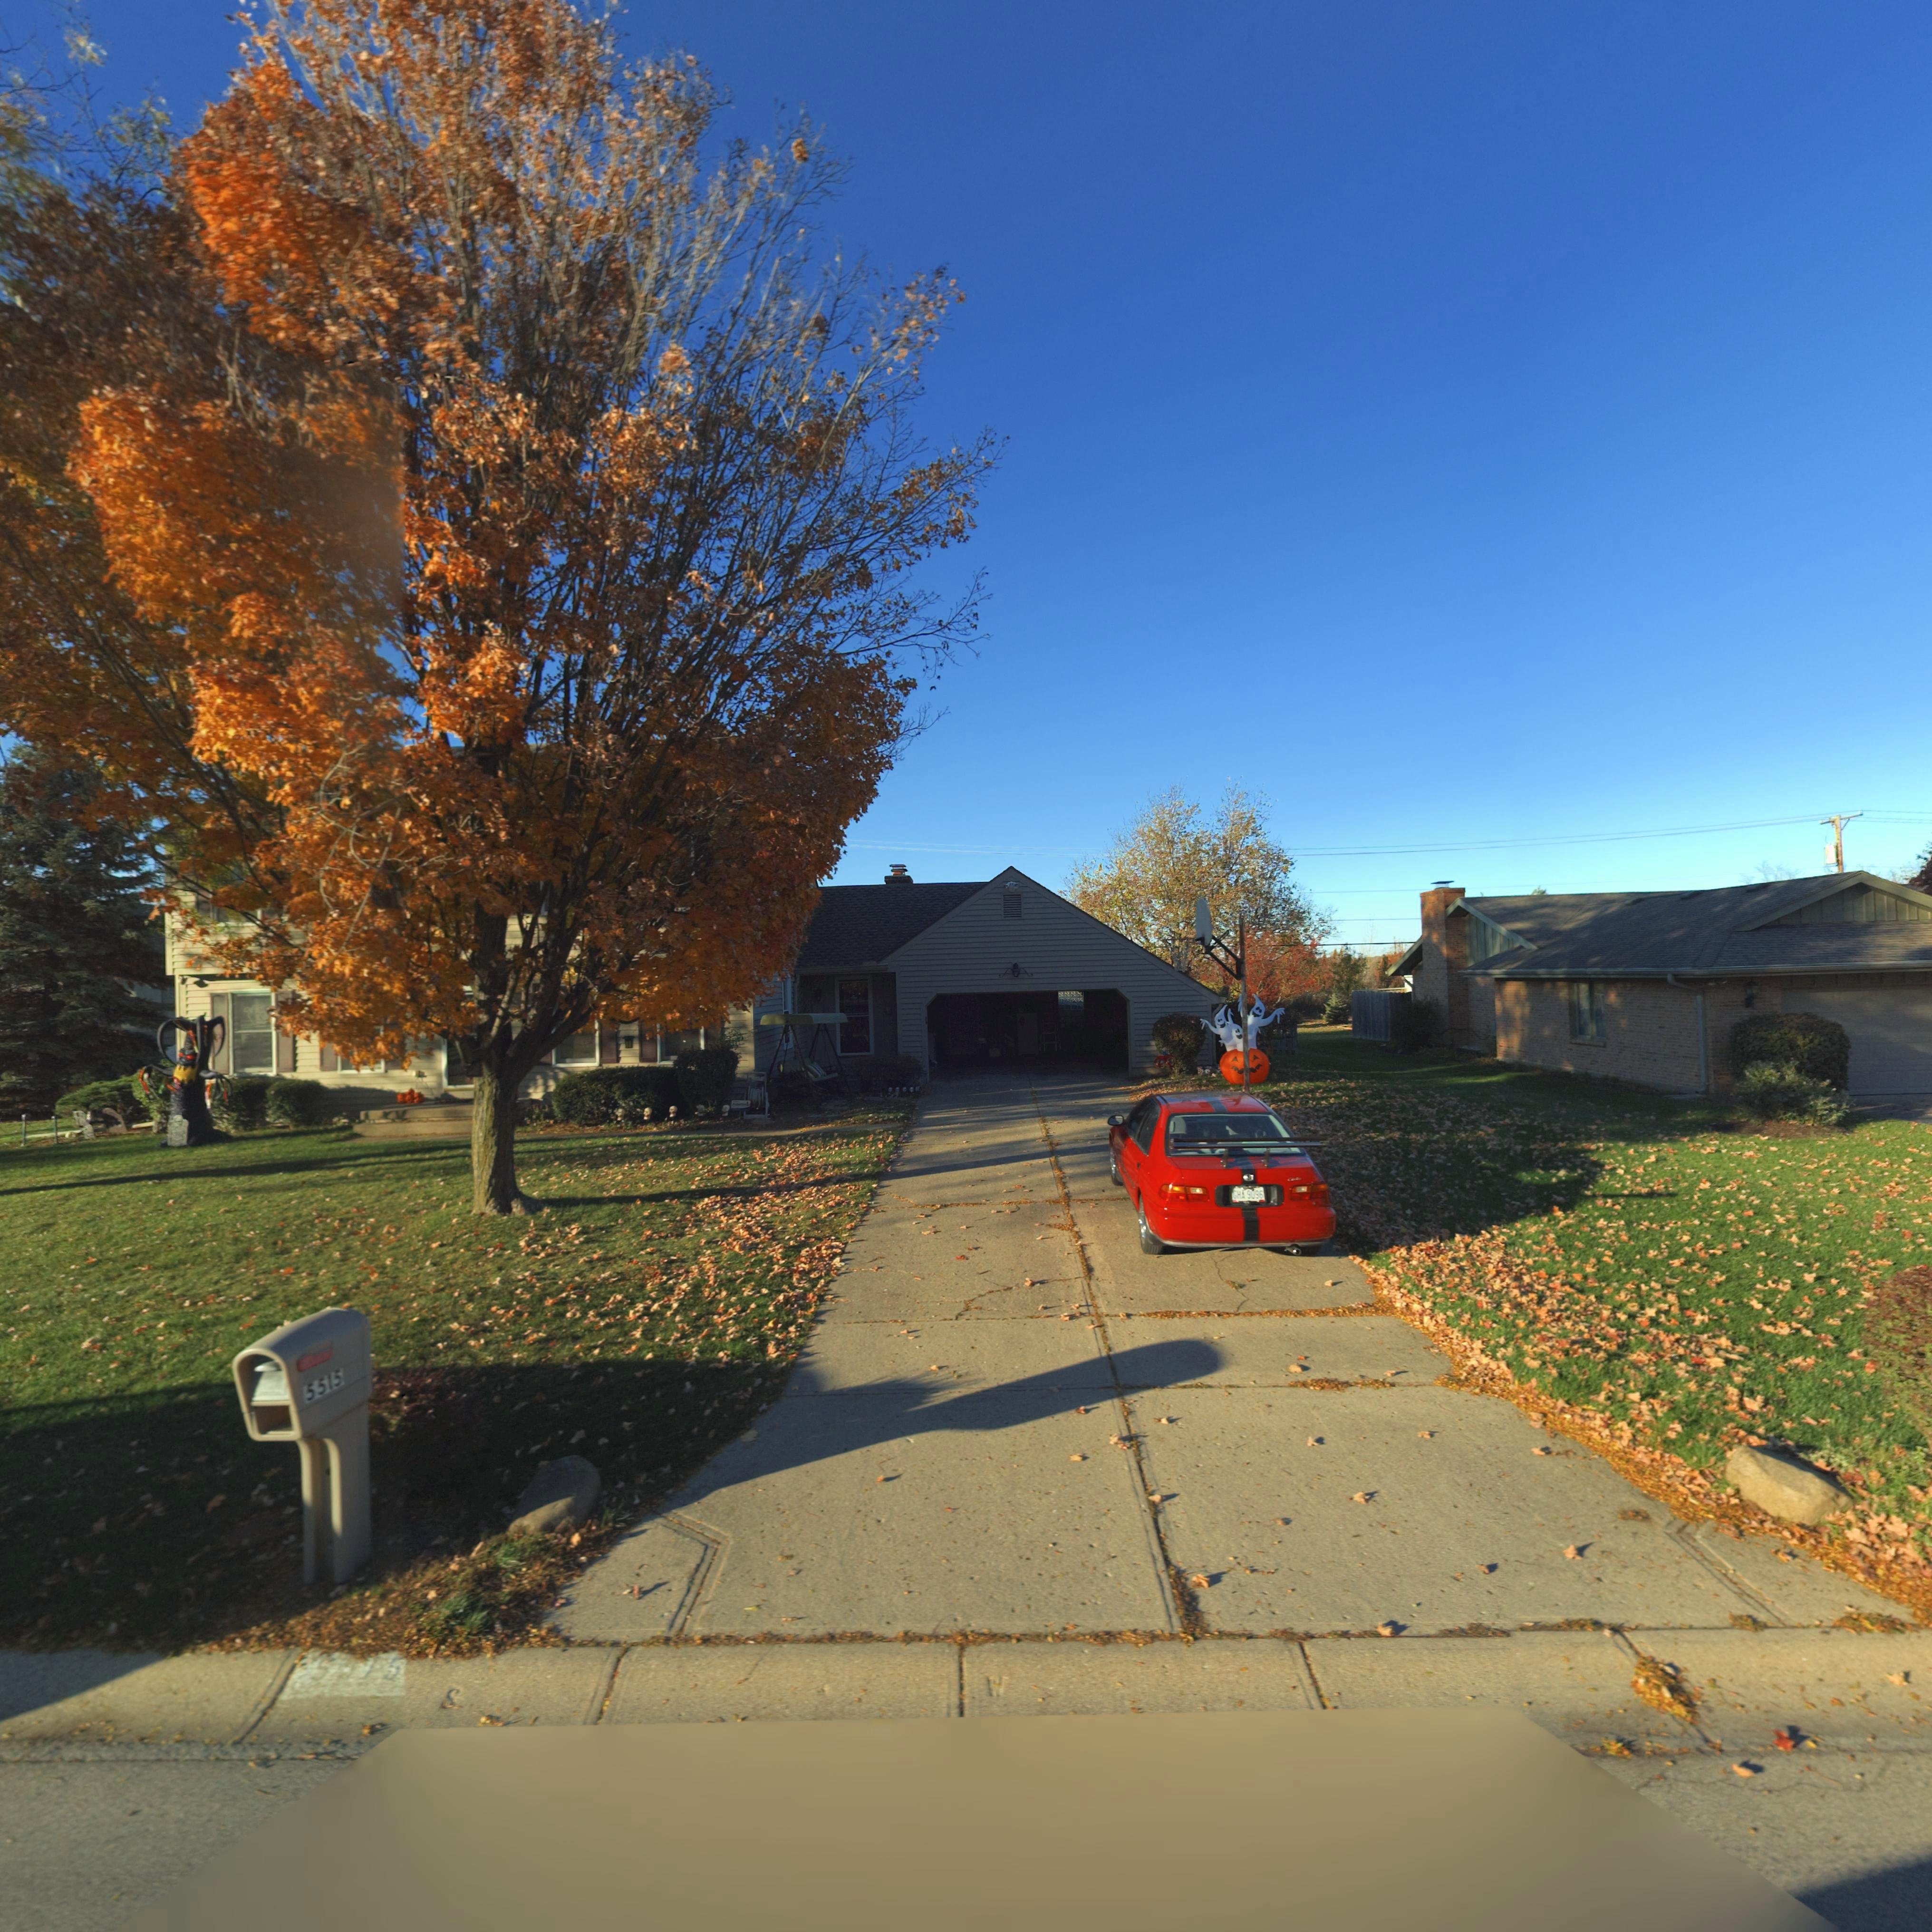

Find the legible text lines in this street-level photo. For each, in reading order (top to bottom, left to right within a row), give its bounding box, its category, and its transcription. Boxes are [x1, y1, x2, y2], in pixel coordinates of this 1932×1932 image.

[304, 1365, 344, 1403] StreetNumber: 5515
[307, 1653, 407, 1684] StreetNumber: 5*15